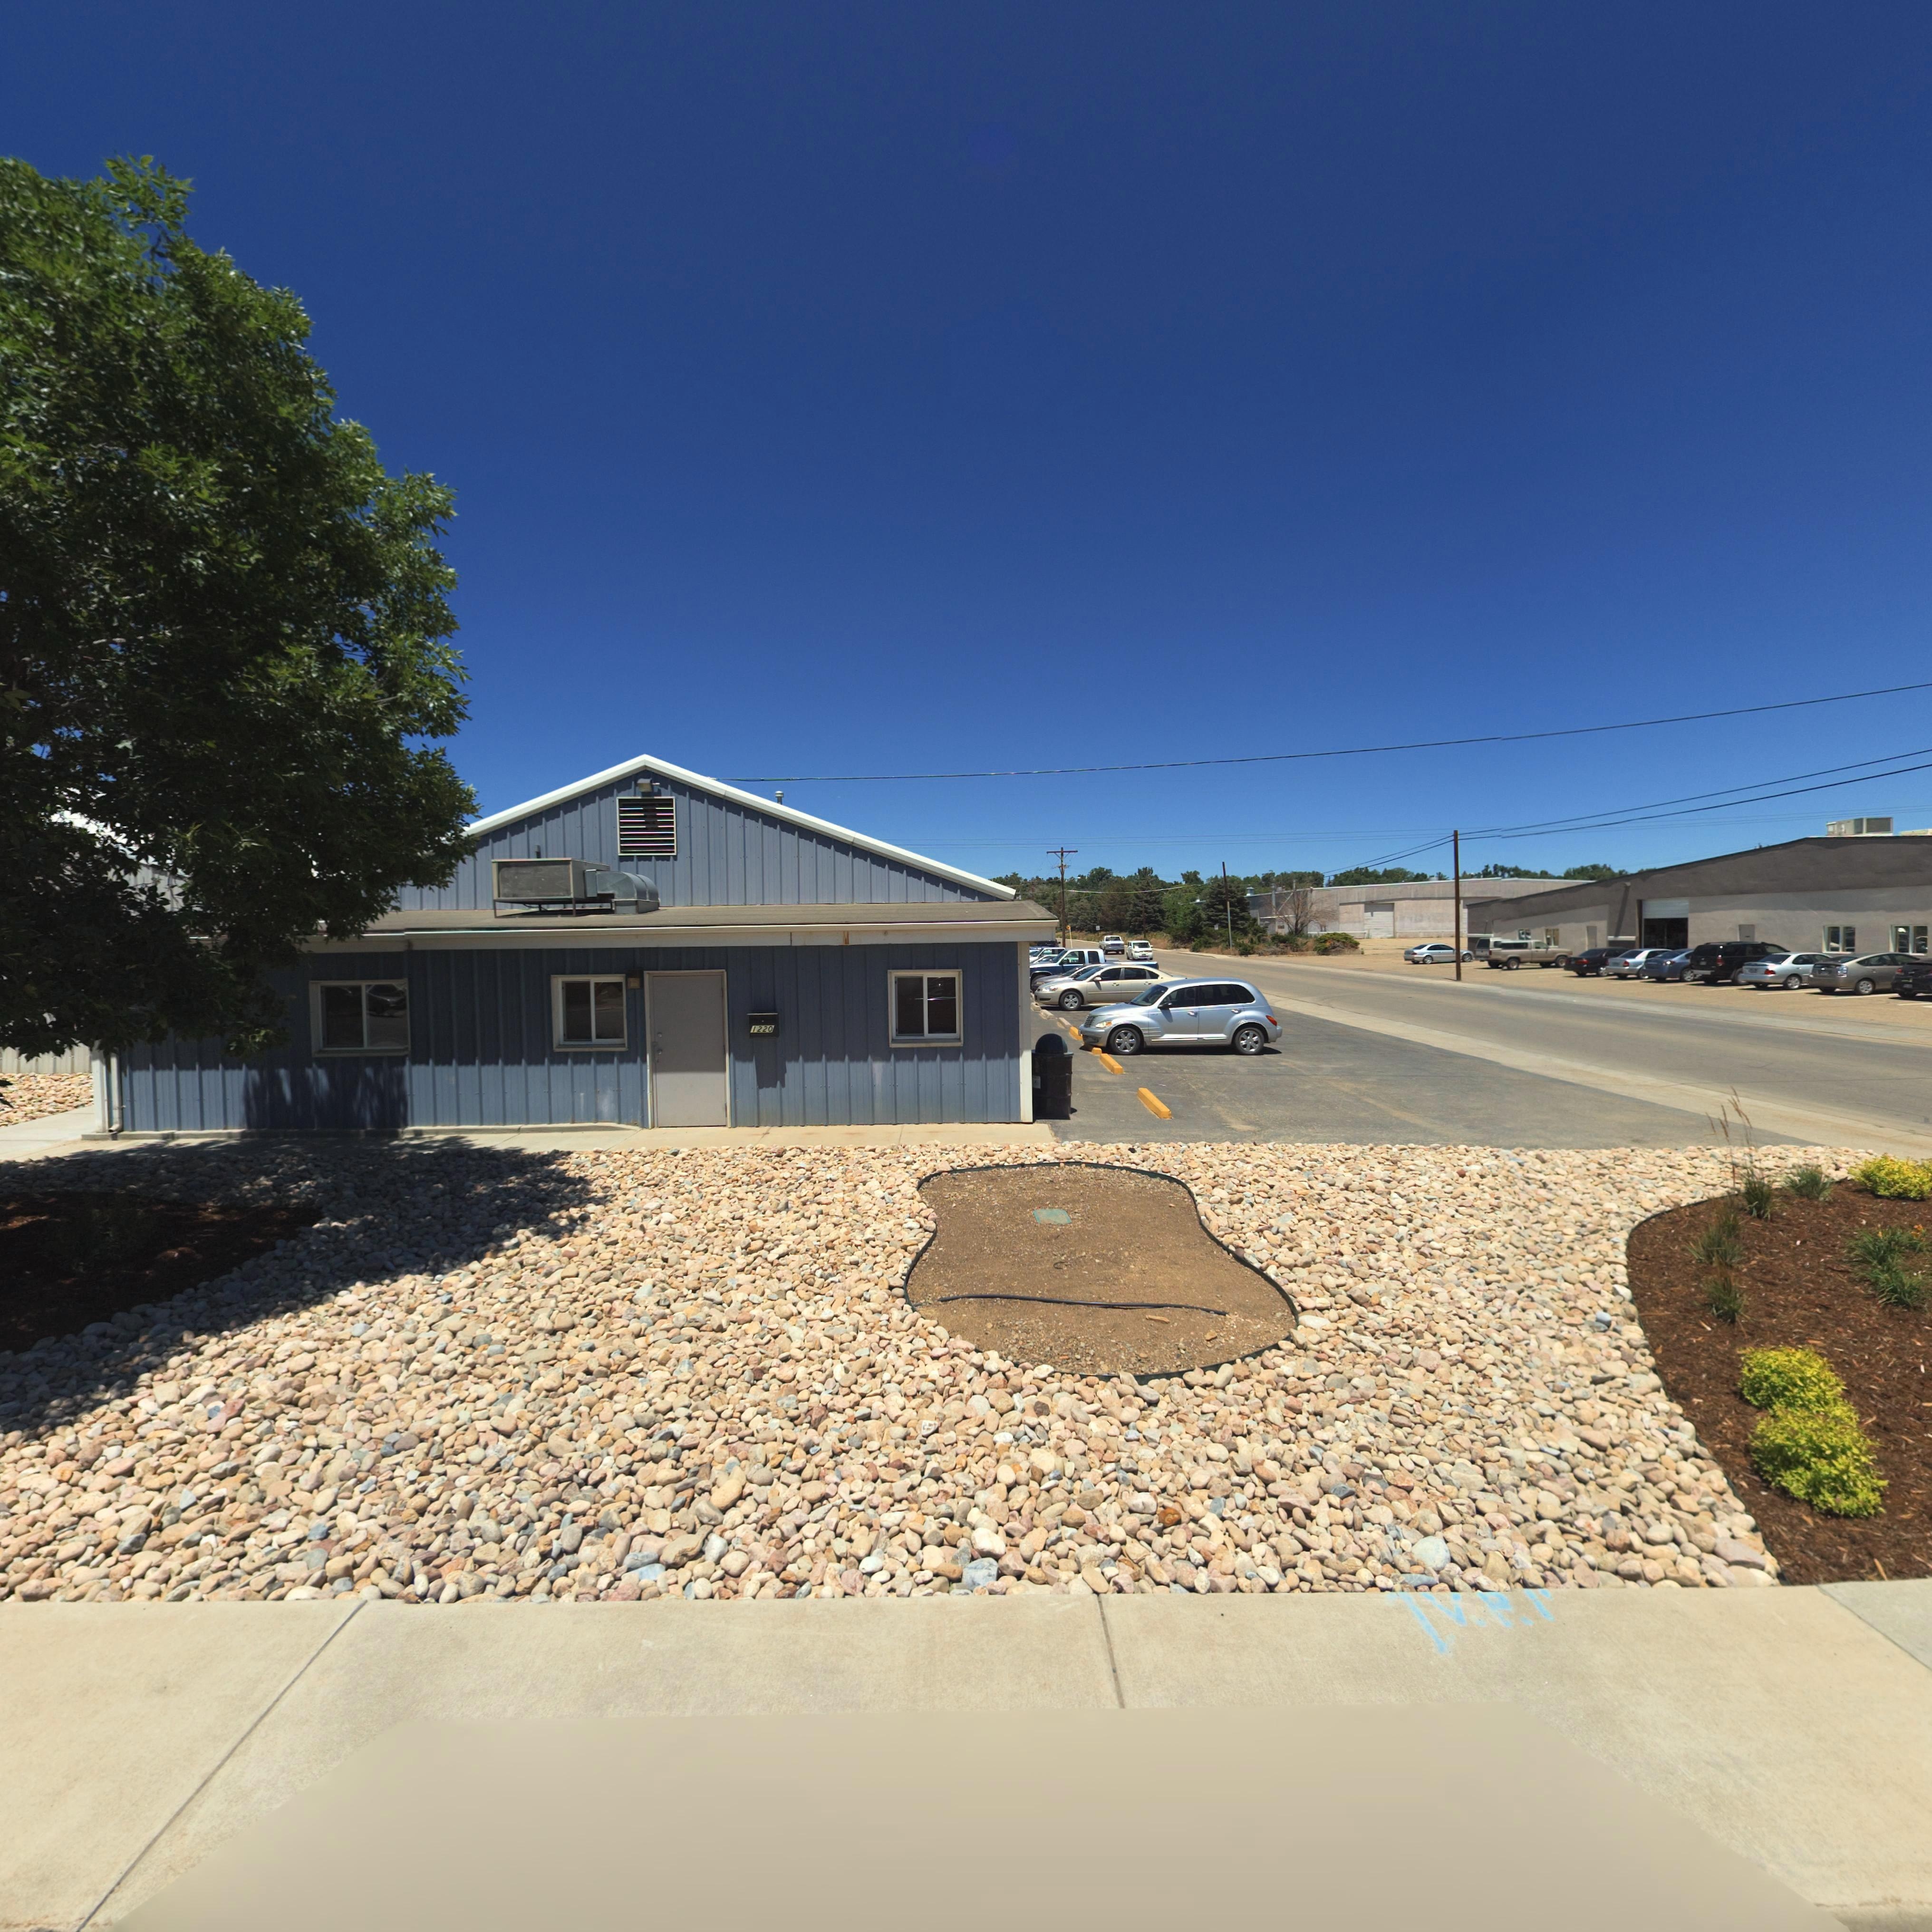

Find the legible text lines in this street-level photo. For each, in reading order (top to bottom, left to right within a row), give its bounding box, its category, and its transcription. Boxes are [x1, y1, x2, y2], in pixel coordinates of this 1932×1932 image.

[752, 1025, 773, 1032] StreetNumber: 1220